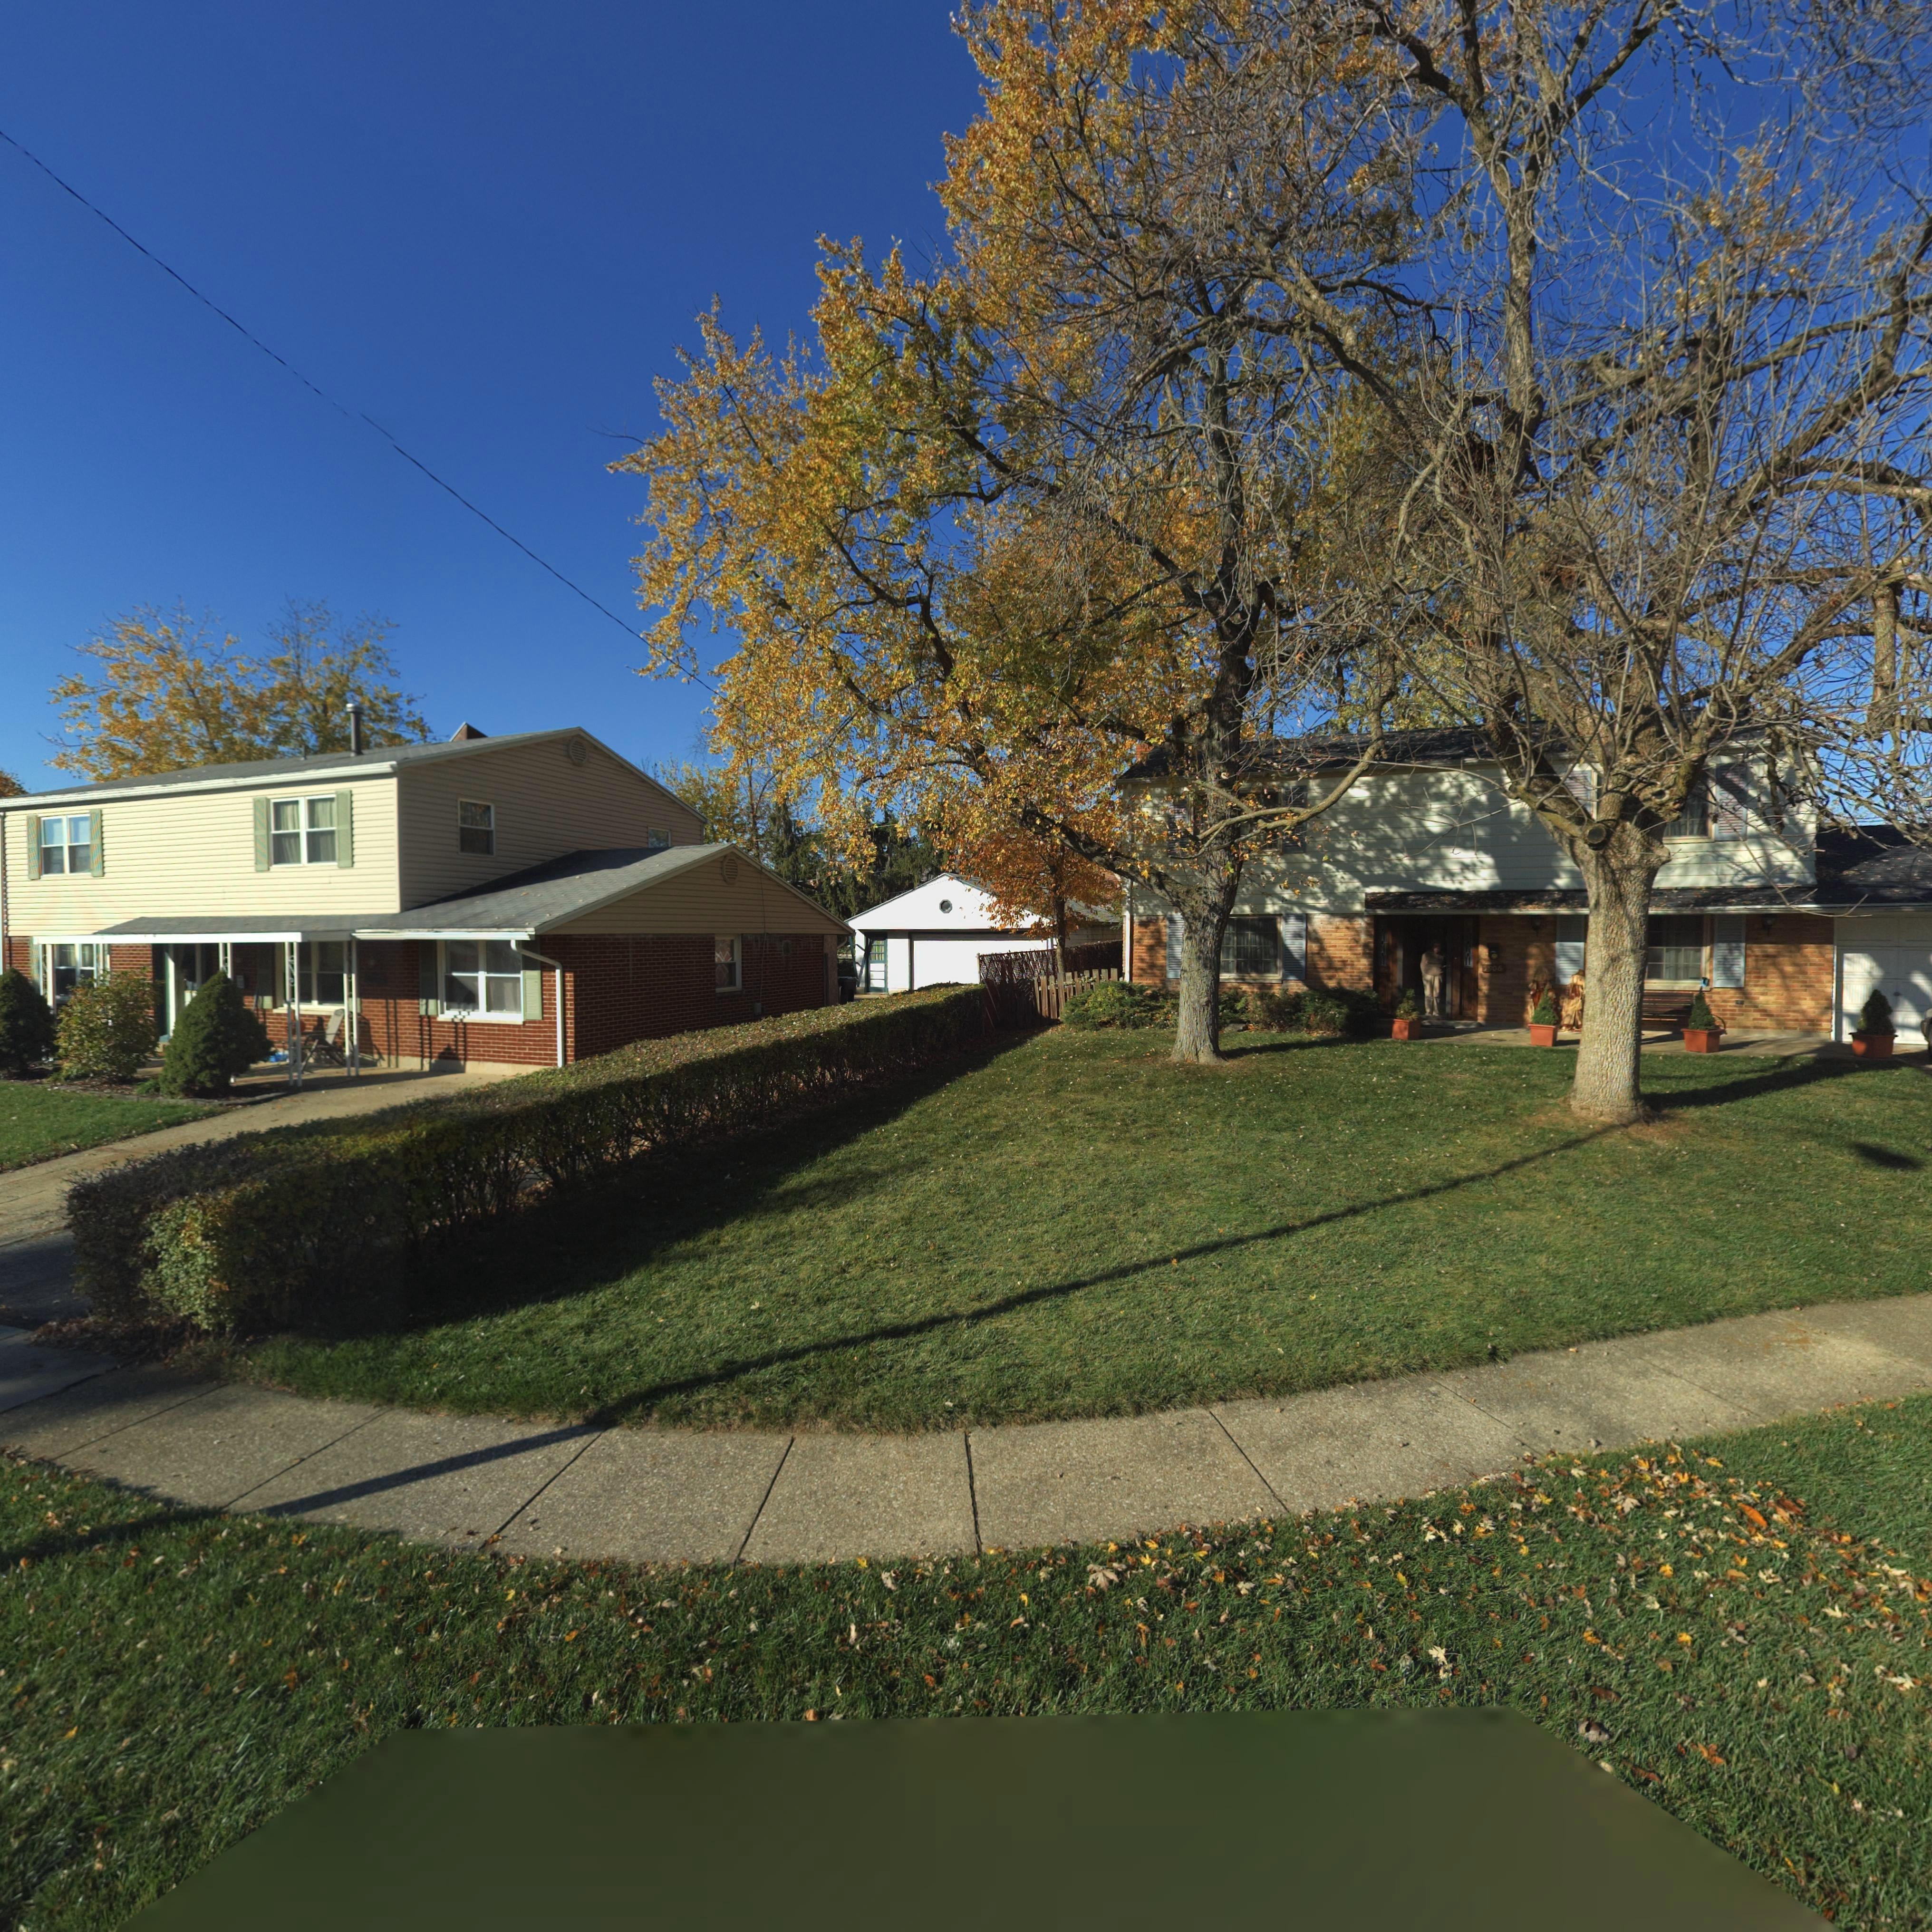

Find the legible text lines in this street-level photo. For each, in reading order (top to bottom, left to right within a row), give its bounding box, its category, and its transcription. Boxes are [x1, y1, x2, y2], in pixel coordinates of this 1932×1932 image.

[1482, 964, 1503, 973] StreetNumber: *906